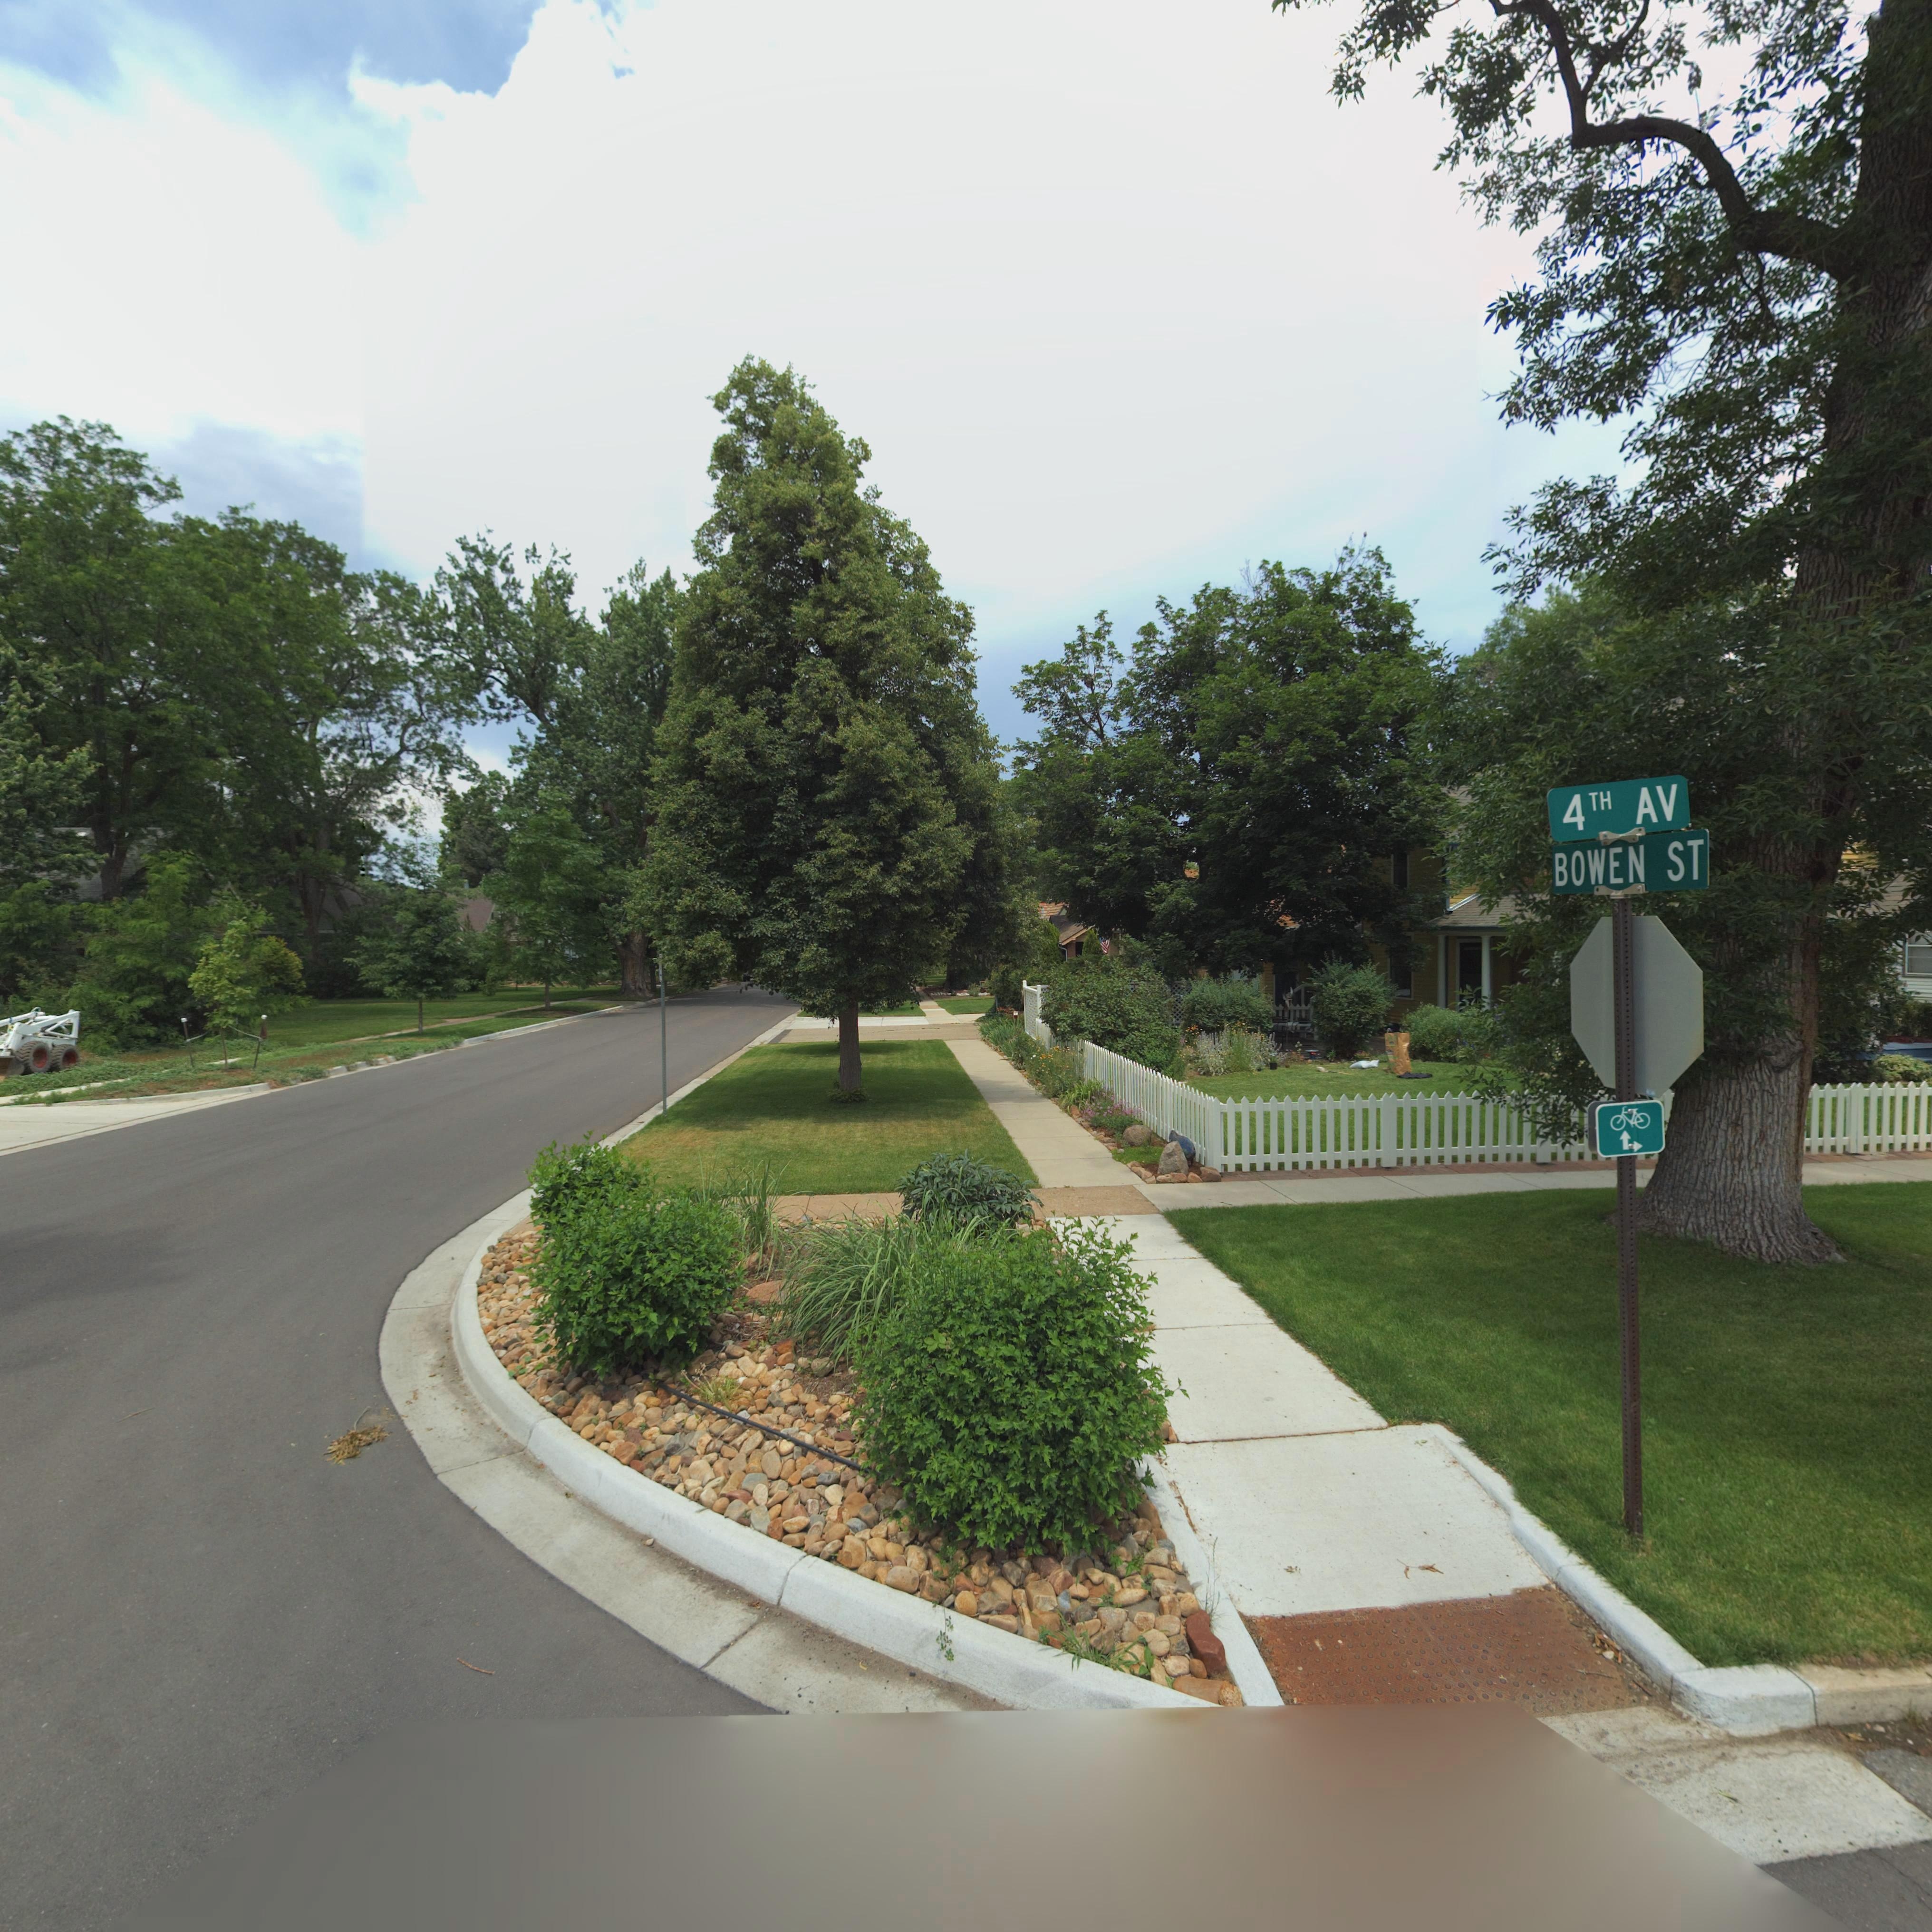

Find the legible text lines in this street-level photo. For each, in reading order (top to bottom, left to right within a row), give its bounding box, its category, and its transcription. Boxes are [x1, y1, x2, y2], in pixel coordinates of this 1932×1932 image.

[1562, 782, 1678, 831] StreetName: 4TH AV
[1553, 838, 1705, 887] StreetName: BOWEN ST